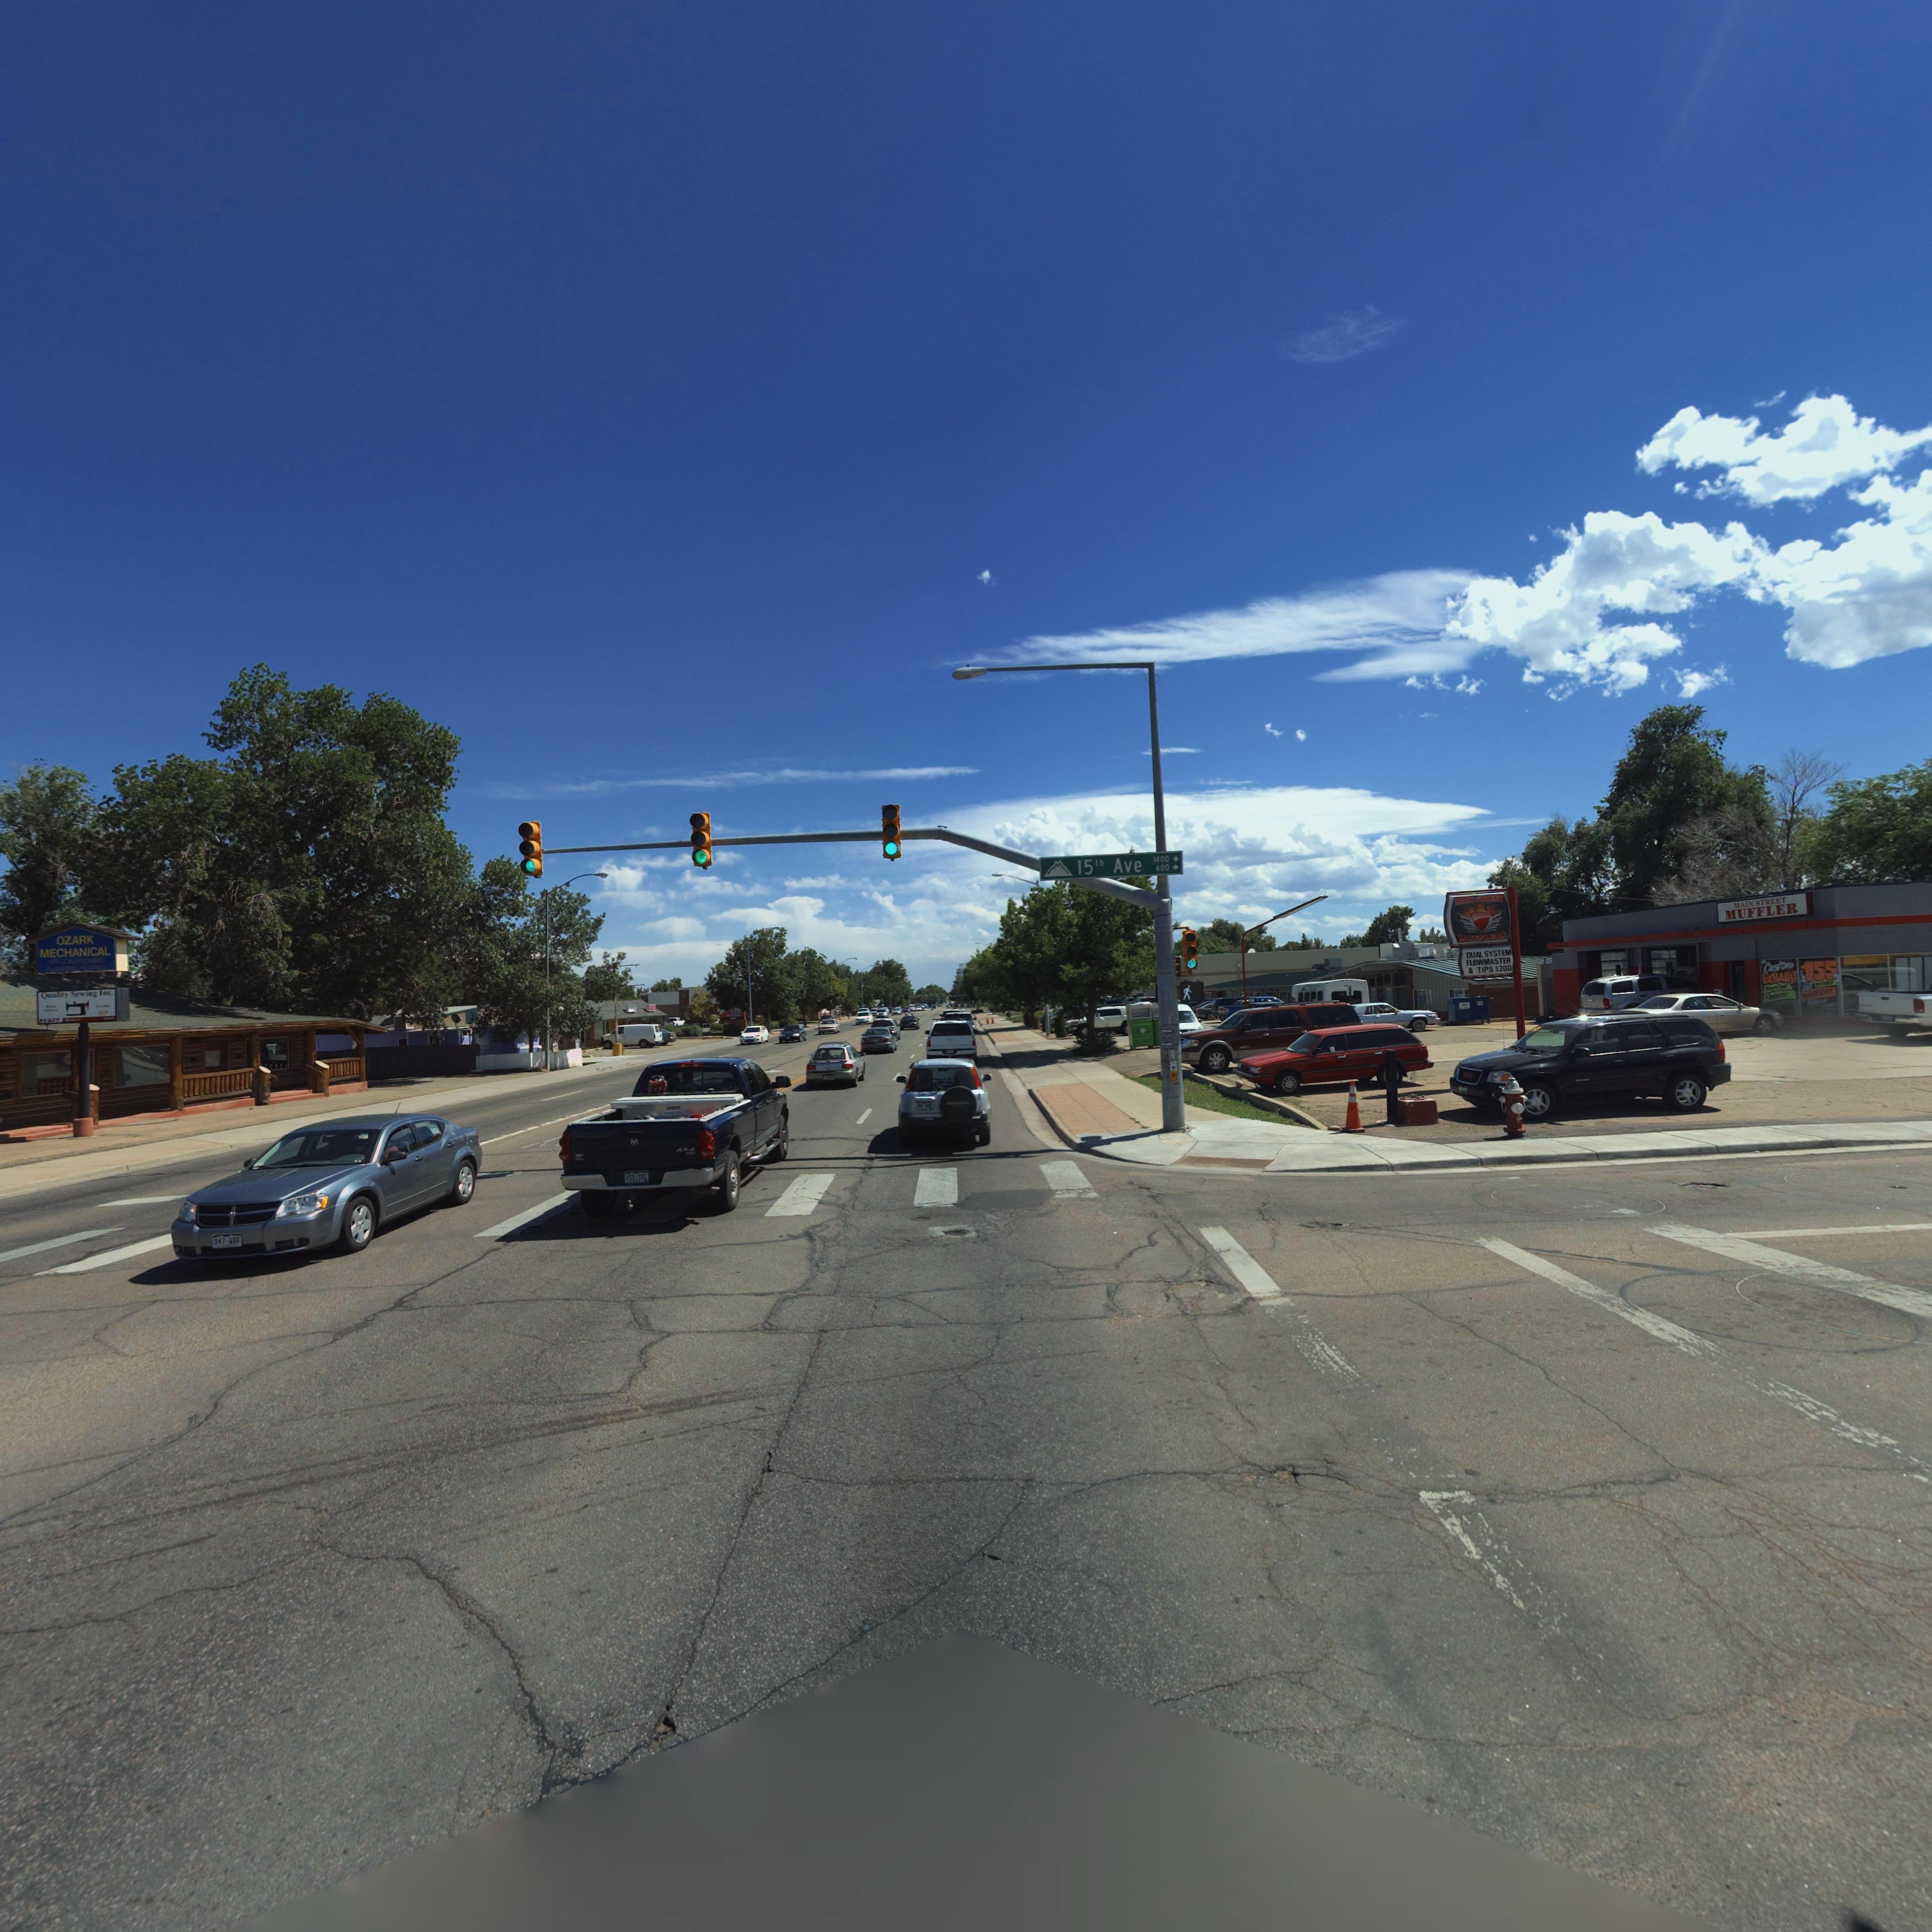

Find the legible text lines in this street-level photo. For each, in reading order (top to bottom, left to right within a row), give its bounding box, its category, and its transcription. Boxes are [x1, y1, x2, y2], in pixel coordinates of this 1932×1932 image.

[1153, 855, 1169, 862] StreetNumberRange: 1400
[1078, 858, 1142, 875] StreetName: 15th Ave
[1156, 864, 1179, 871] StreetNumberRange: 600->
[1454, 895, 1503, 906] BusinessName: MAIN STREET
[1734, 897, 1786, 908] BusinessName: MAIN STREET
[1725, 903, 1799, 920] BusinessName: MUFFLER
[56, 935, 93, 945] BusinessName: OZARK
[1459, 931, 1506, 941] BusinessName: MUFFLERS
[40, 947, 110, 957] BusinessName: MECHANICAL
[41, 990, 114, 999] BusinessName: Quality Sewing Inc.